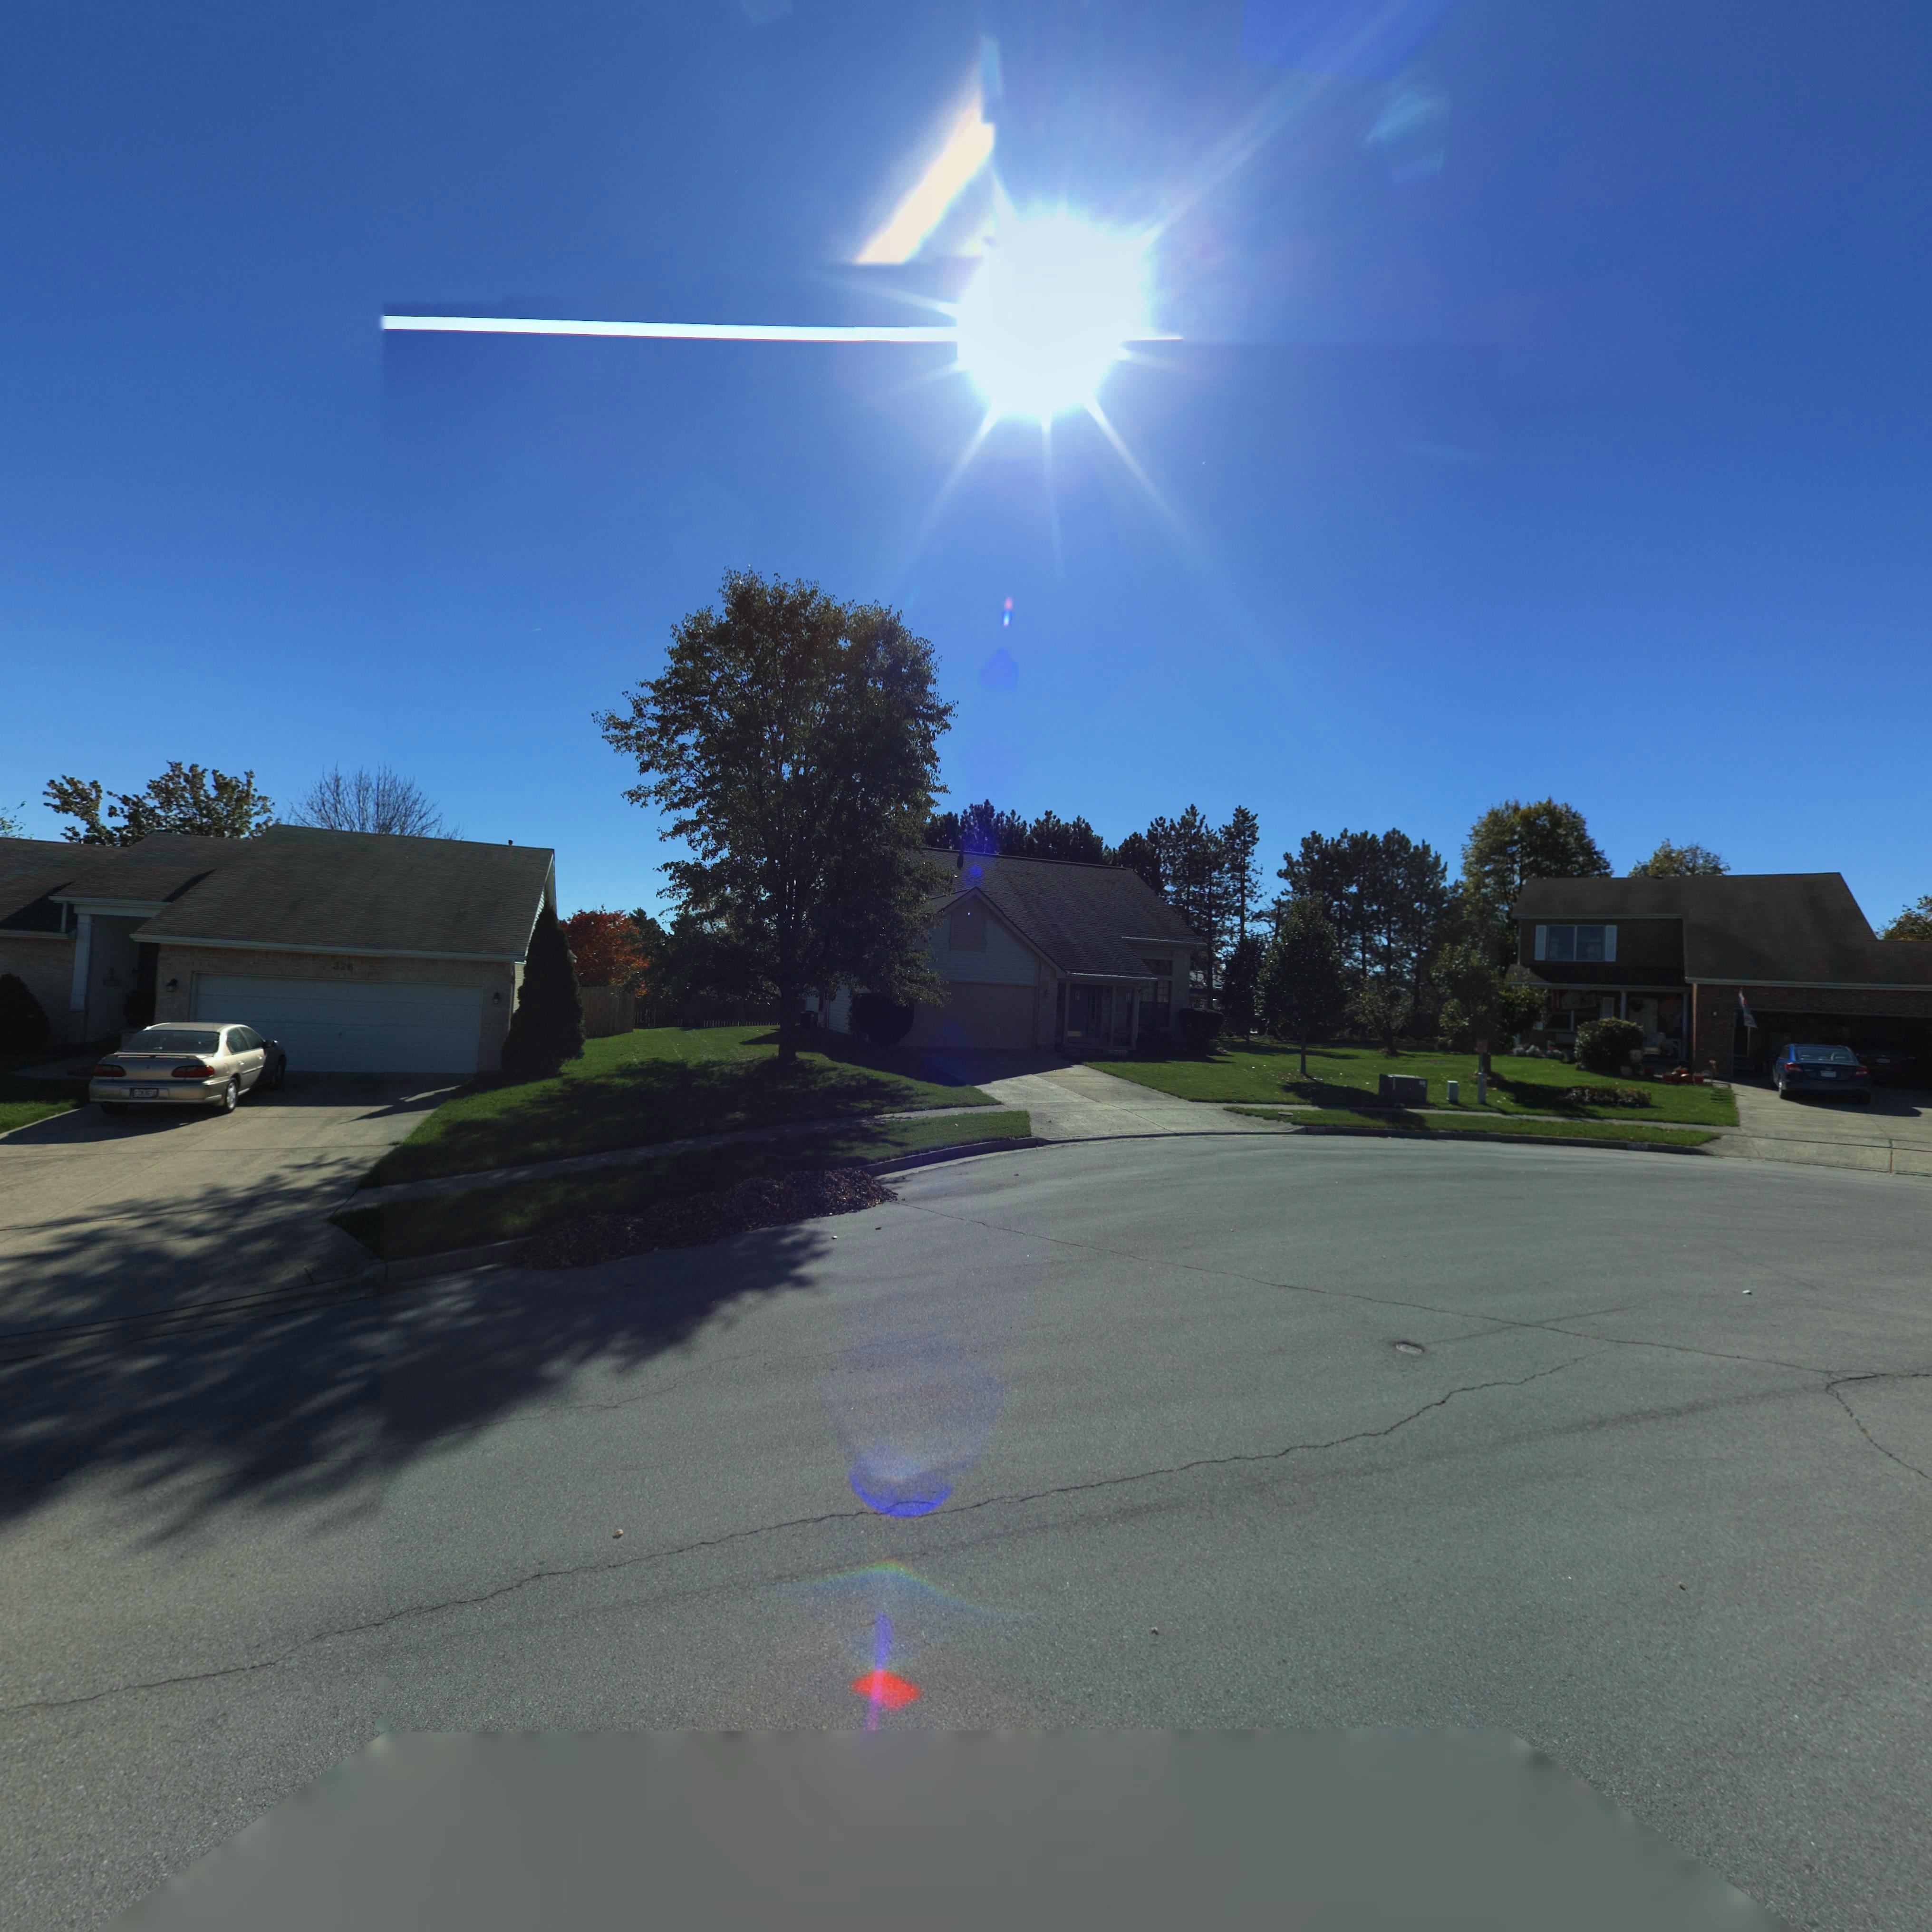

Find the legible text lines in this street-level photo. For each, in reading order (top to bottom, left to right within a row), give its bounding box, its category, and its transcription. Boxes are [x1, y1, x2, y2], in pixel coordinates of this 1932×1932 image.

[331, 961, 354, 972] StreetNumber: 326